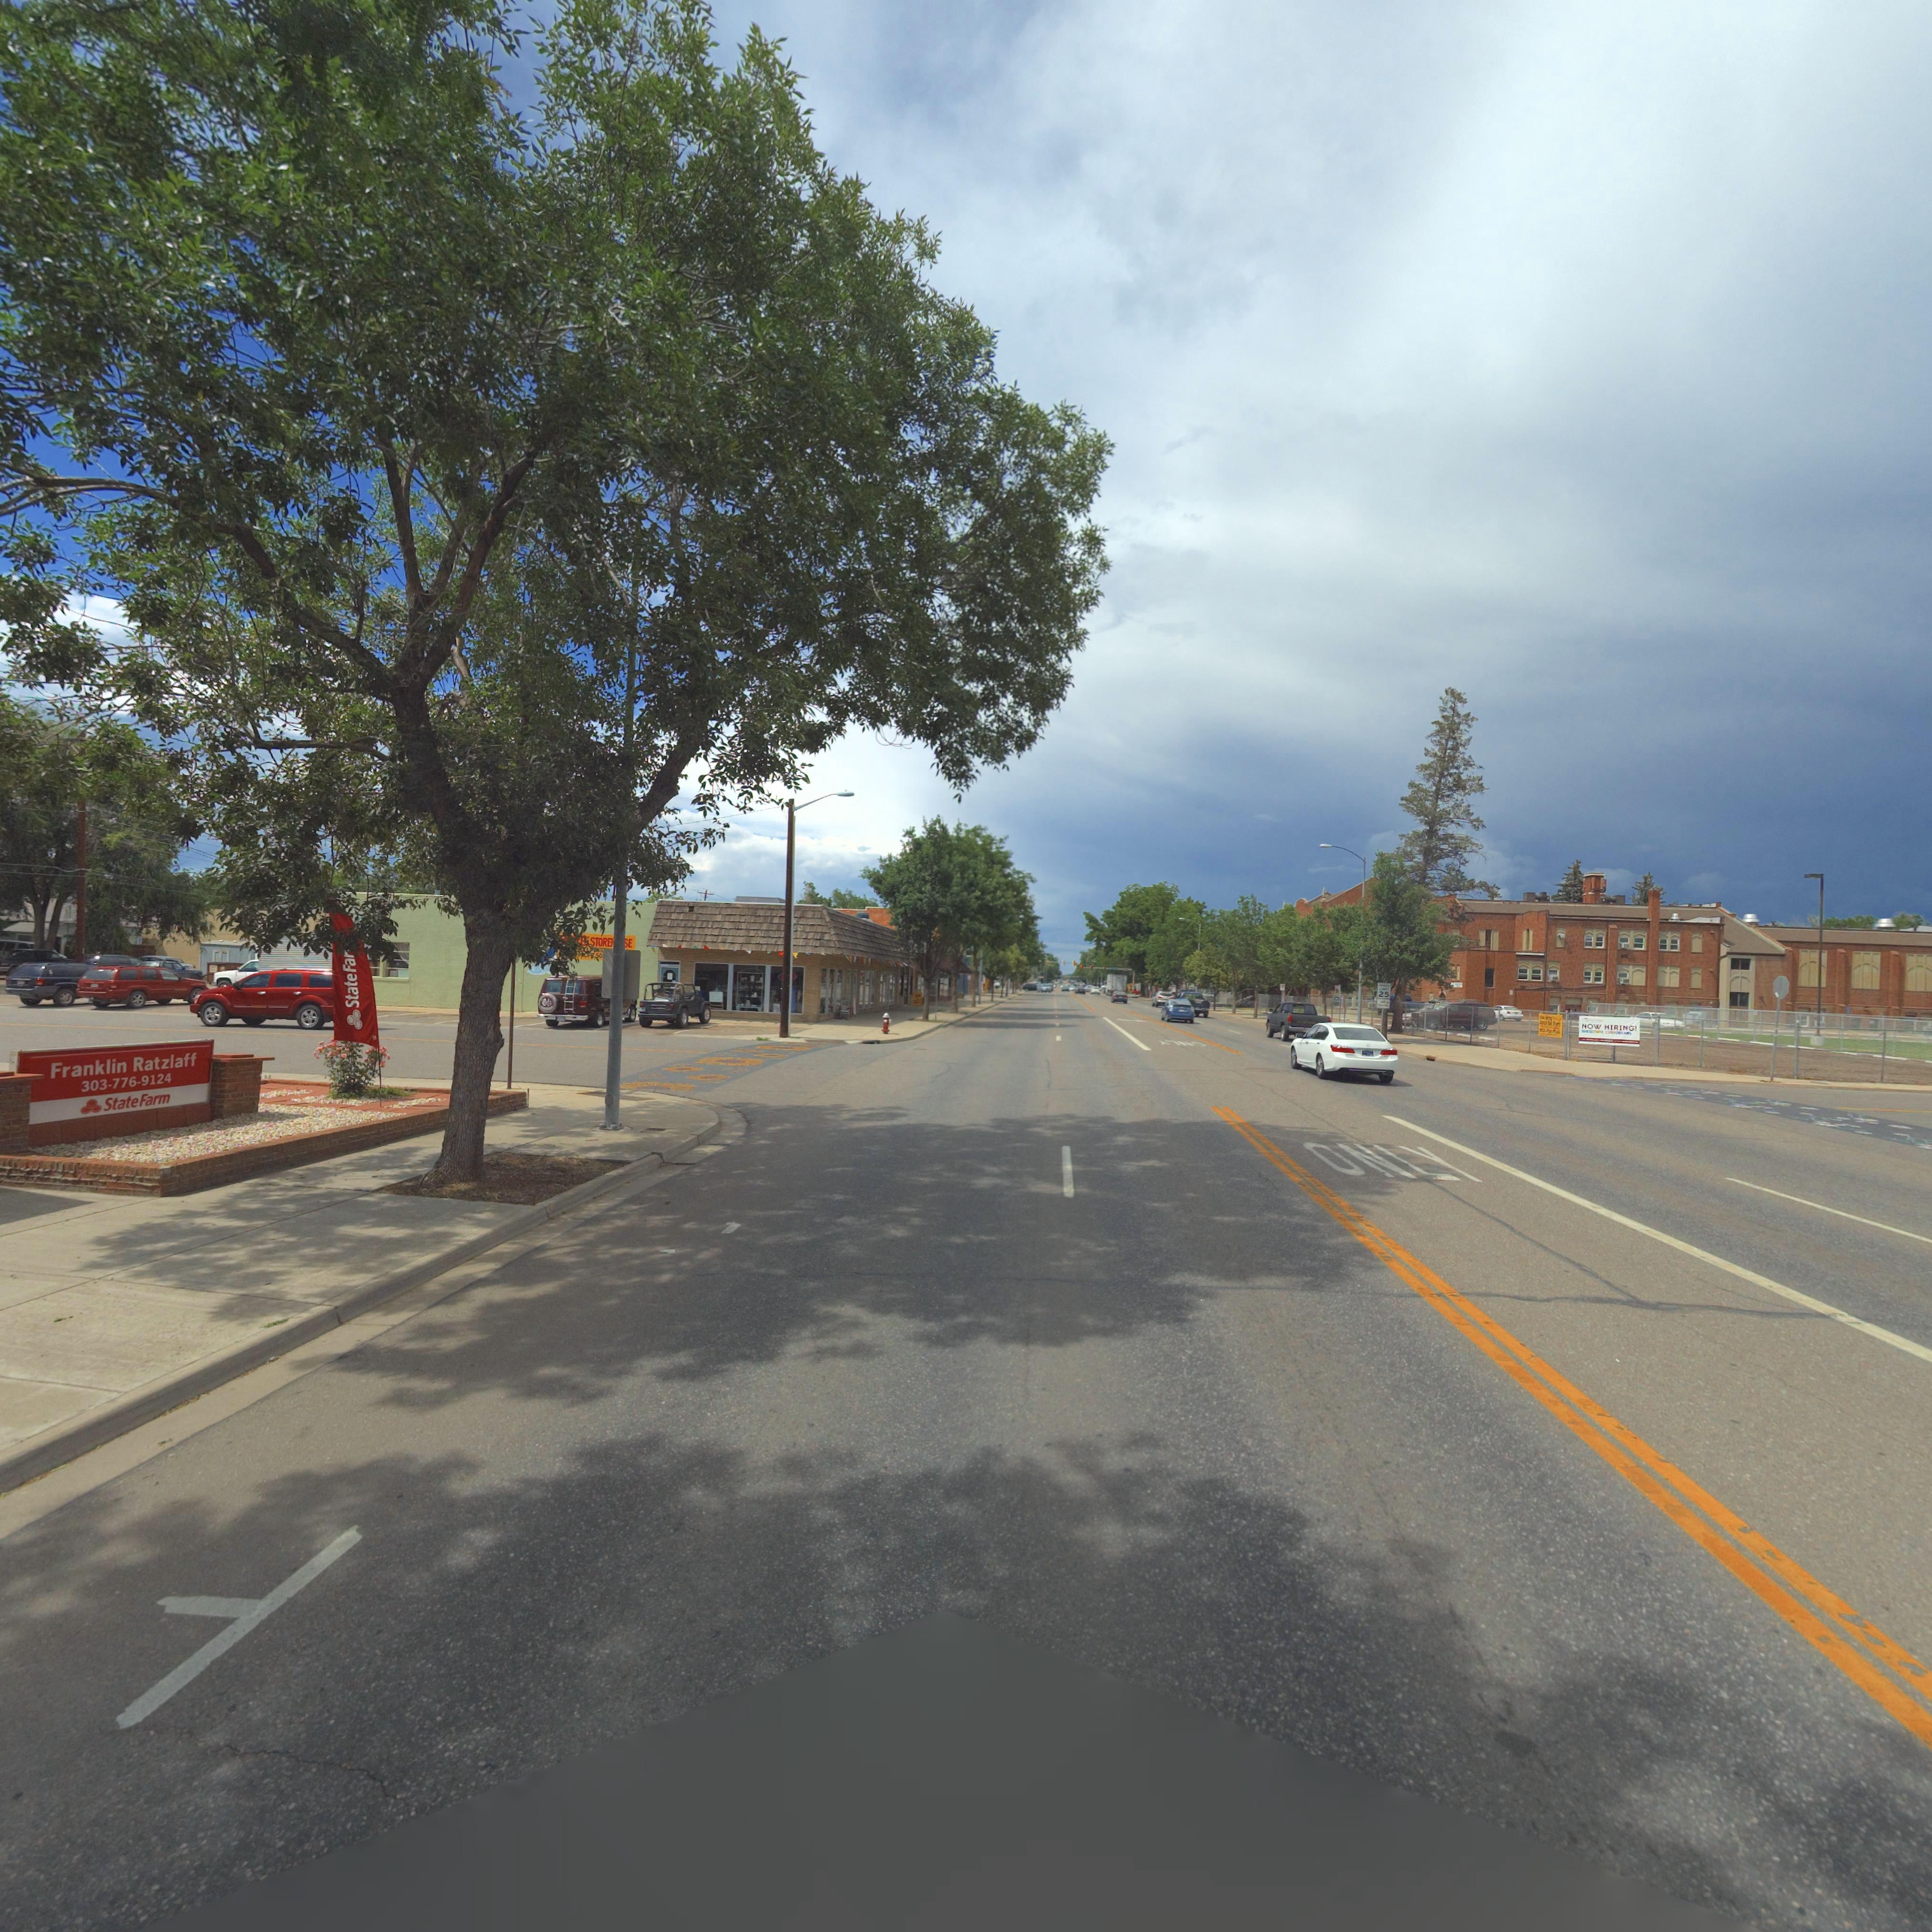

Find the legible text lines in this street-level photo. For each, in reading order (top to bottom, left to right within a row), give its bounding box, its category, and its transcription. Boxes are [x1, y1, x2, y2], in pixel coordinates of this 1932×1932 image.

[580, 935, 633, 948] BusinessName: ** STORE***SE
[342, 951, 360, 1008] BusinessName: StateFar
[102, 1092, 171, 1111] BusinessName: StateFarm